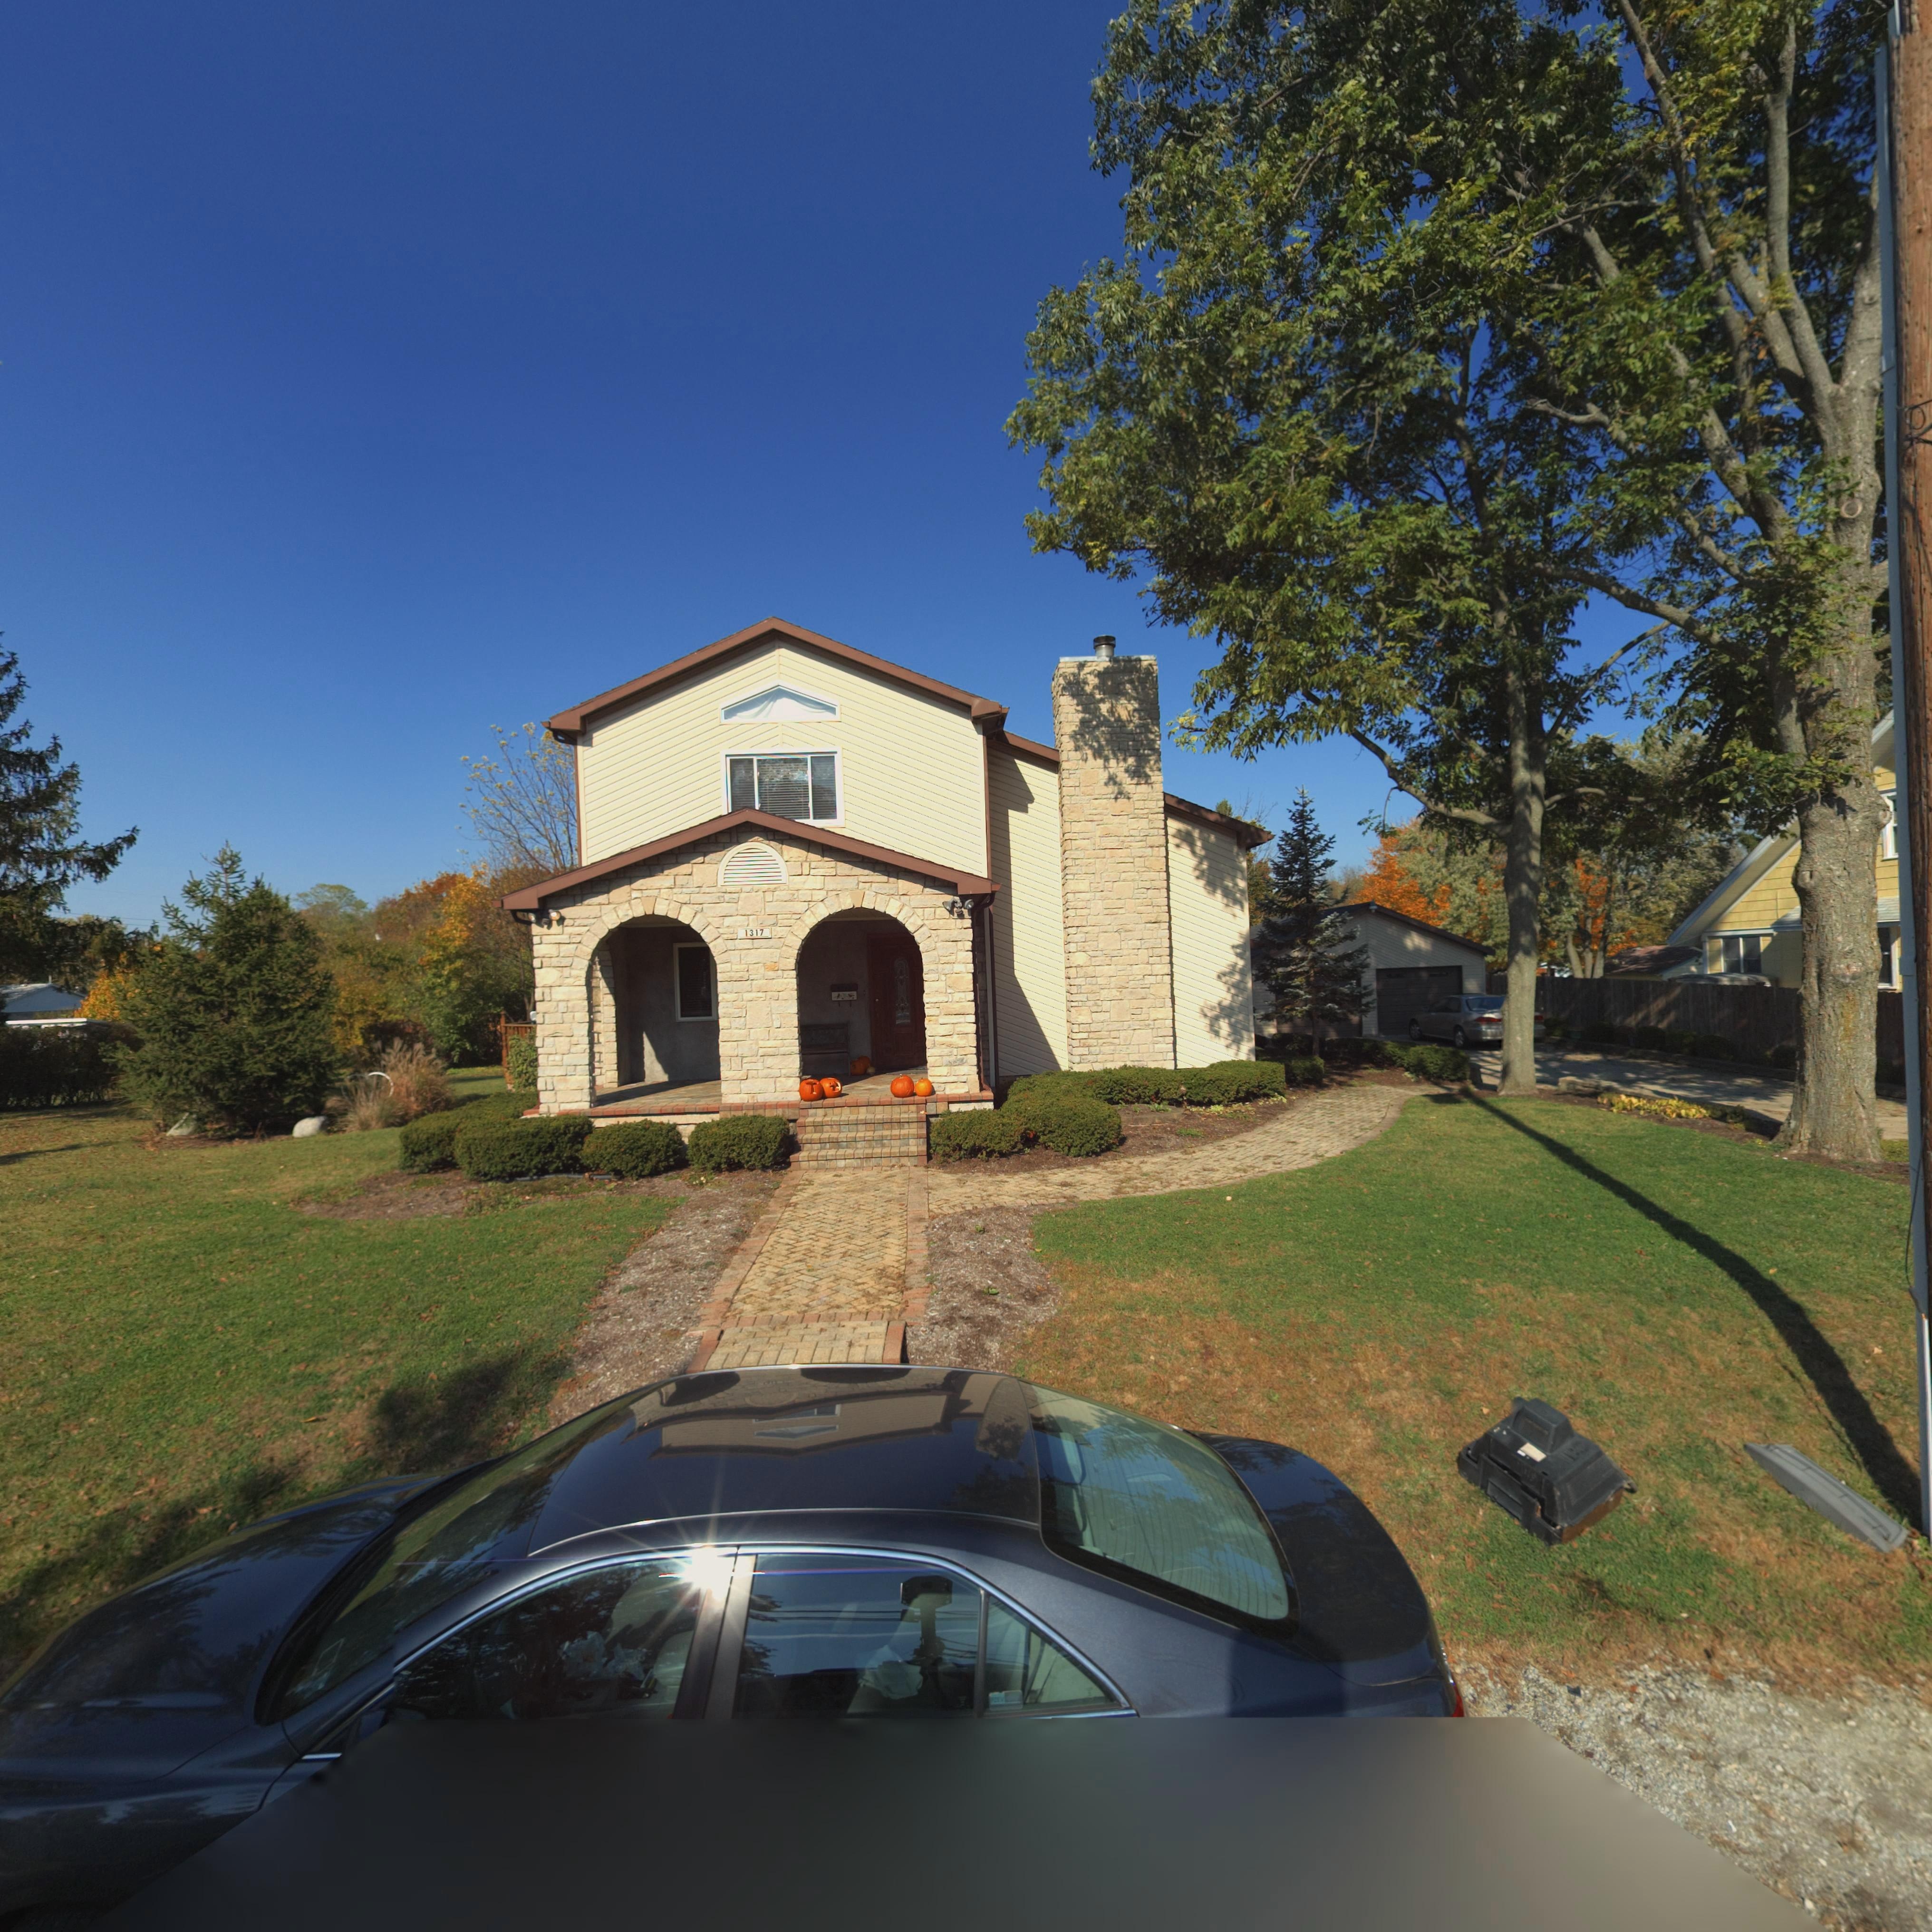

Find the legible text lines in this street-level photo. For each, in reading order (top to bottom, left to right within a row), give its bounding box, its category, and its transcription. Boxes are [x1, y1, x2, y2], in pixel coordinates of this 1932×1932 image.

[744, 928, 764, 937] StreetNumber: 1317